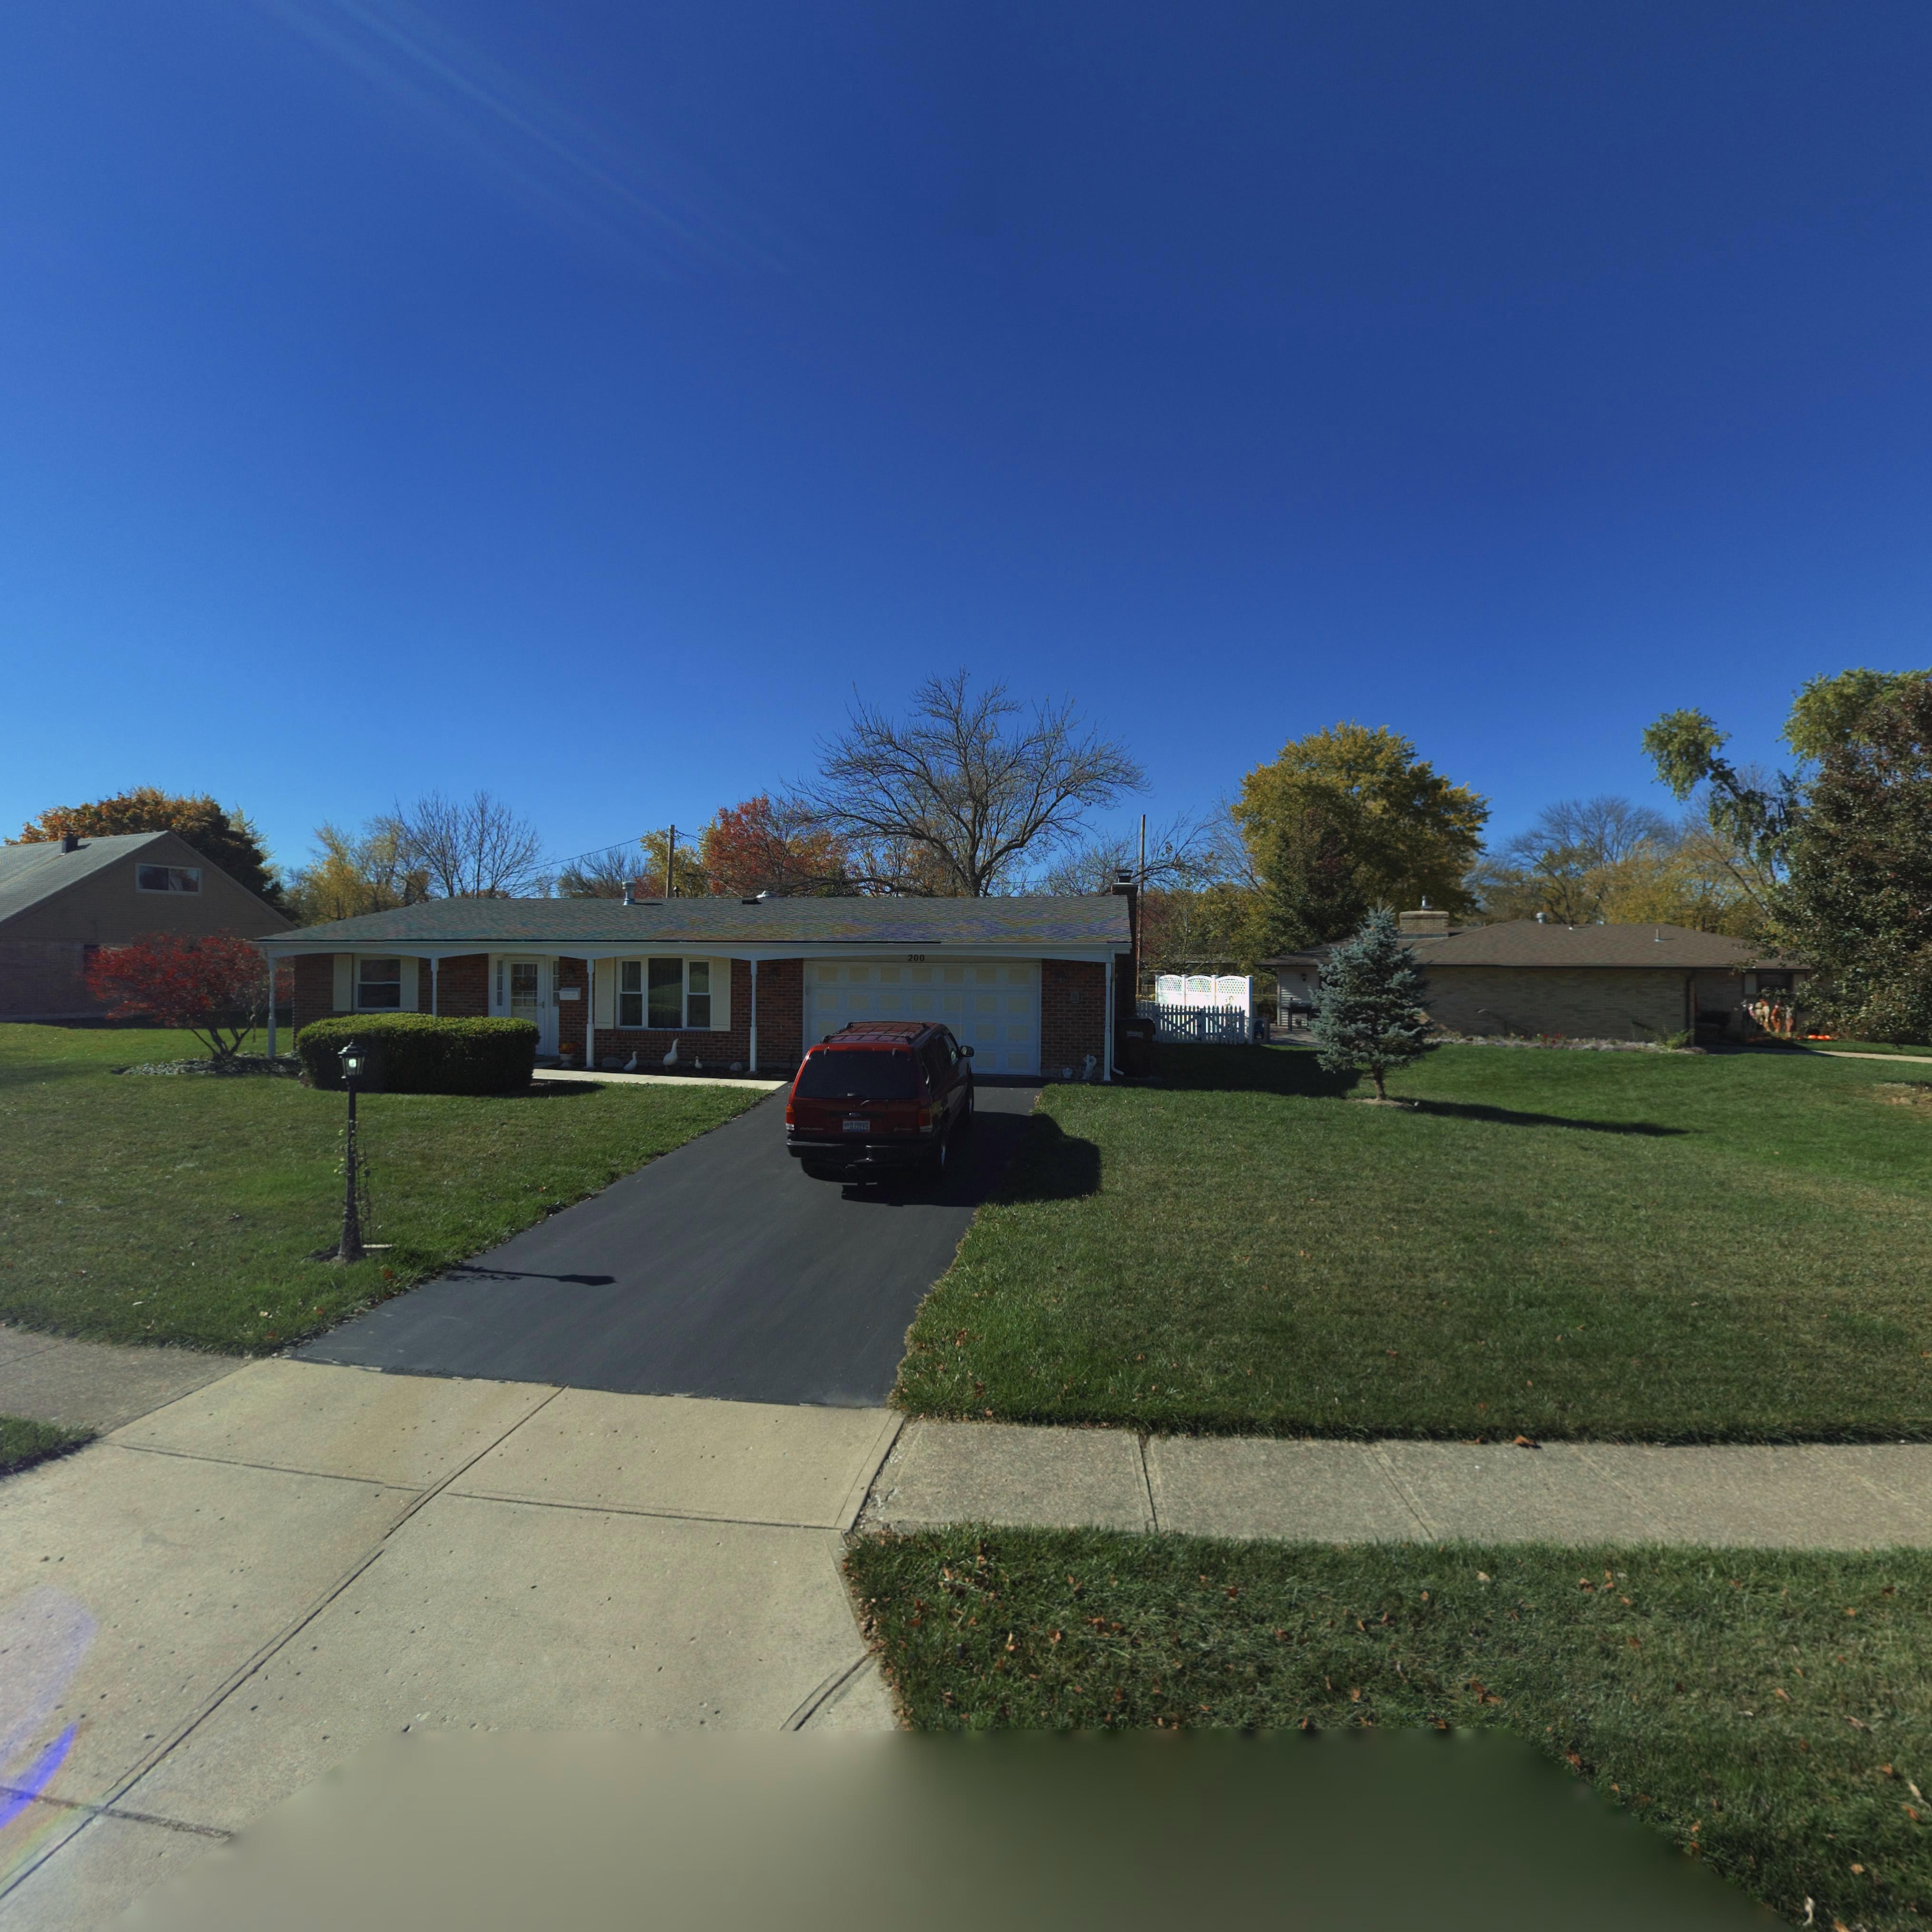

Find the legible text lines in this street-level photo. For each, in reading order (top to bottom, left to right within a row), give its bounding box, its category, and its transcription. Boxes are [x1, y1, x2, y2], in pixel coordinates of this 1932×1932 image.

[907, 954, 925, 962] StreetNumber: 200